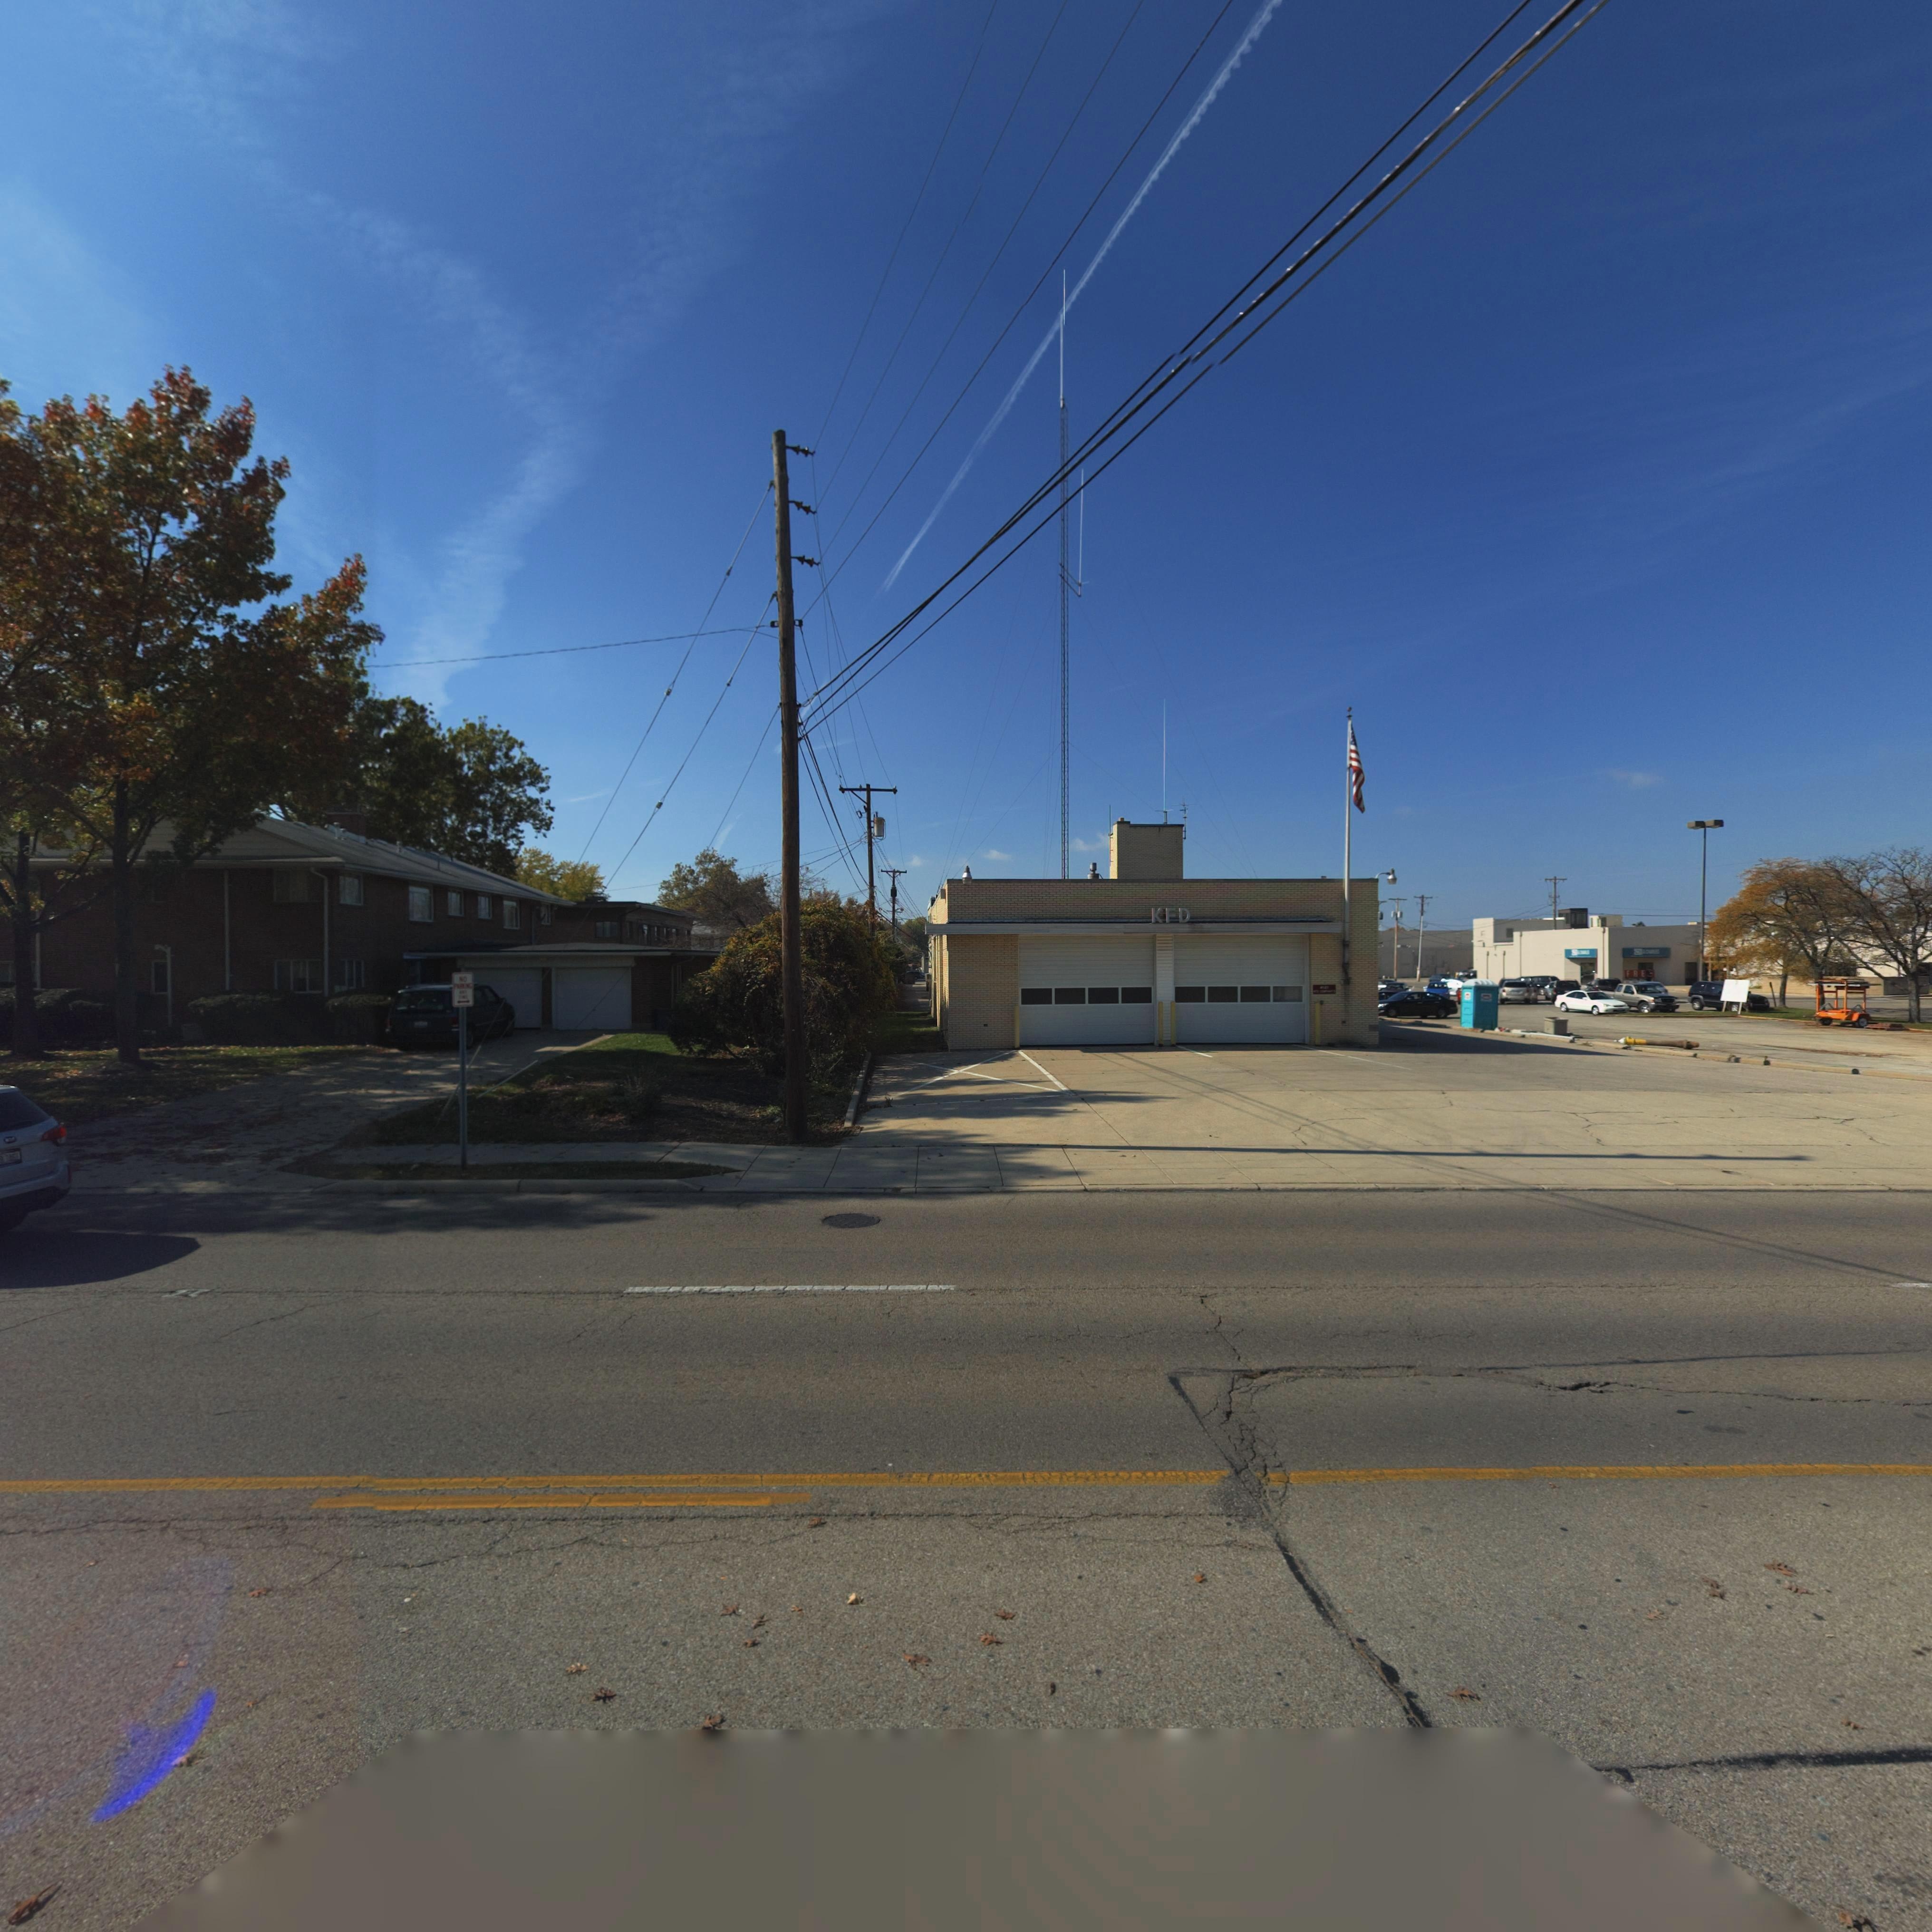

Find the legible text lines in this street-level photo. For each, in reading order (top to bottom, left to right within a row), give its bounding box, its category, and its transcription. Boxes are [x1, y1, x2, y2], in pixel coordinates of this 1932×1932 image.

[1151, 908, 1191, 924] None: KFD
[1626, 970, 1645, 978] None: FRE
[458, 976, 467, 983] None: NO
[453, 983, 473, 990] None: PARKING